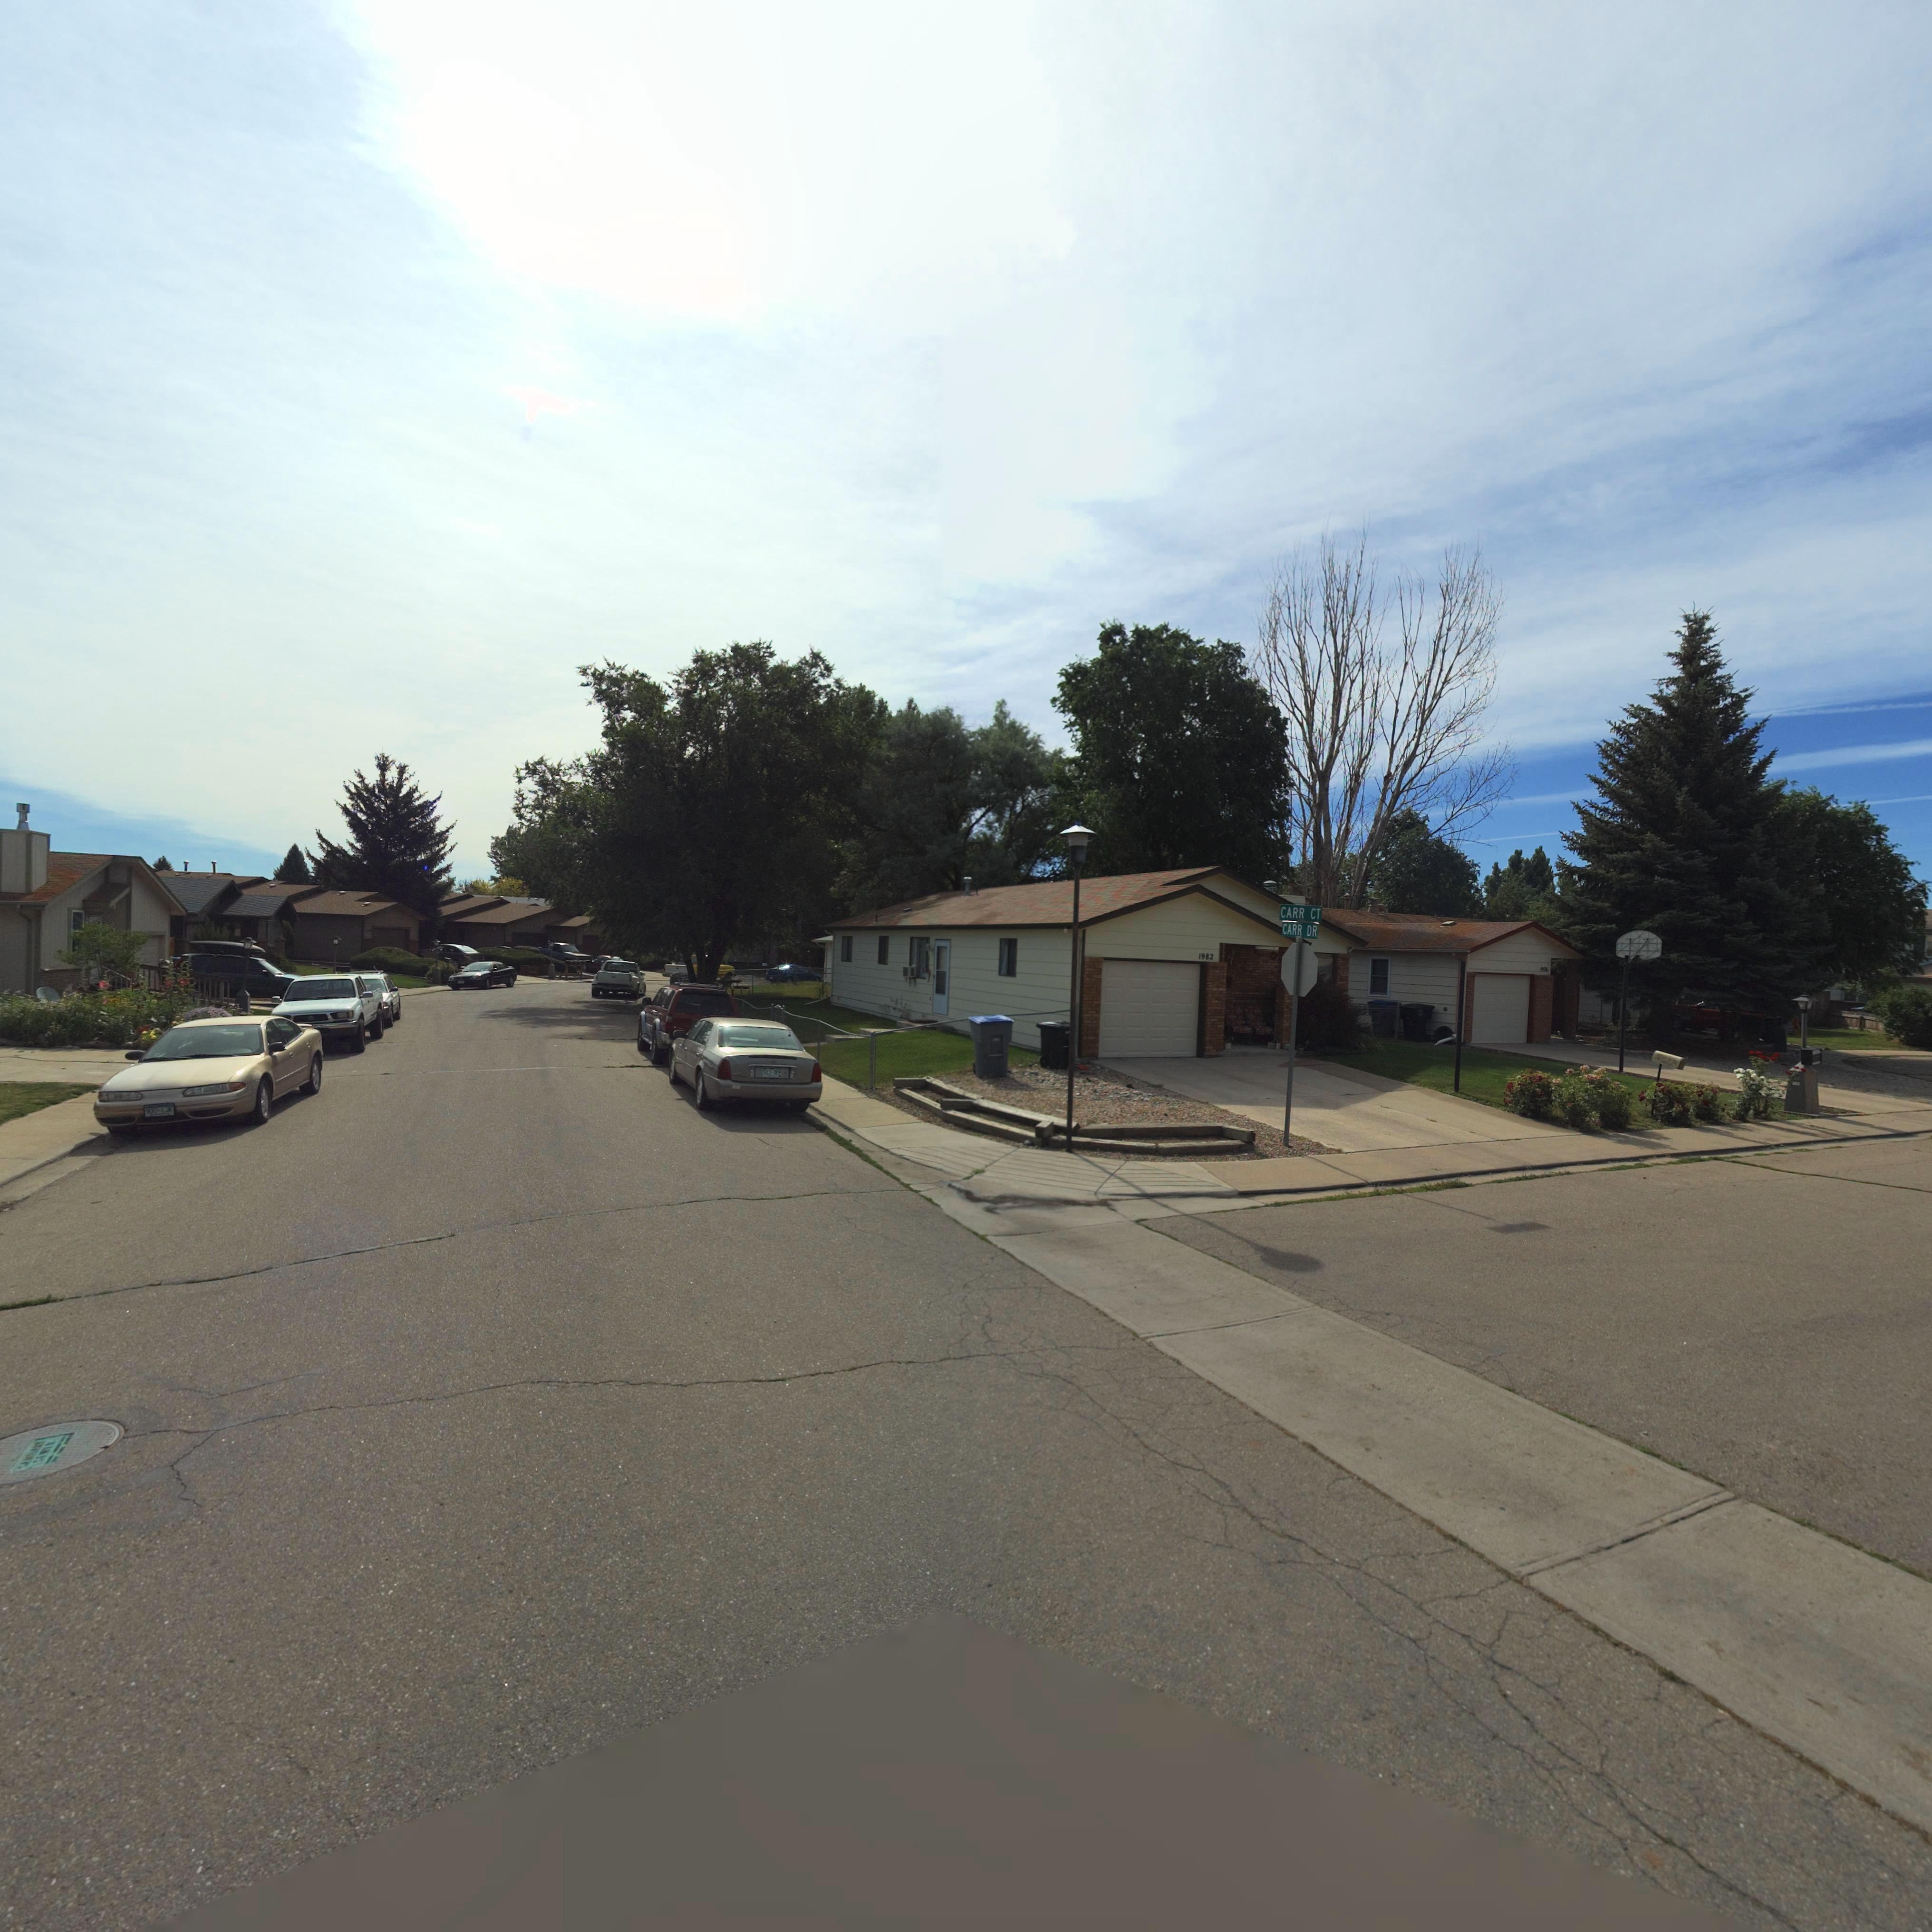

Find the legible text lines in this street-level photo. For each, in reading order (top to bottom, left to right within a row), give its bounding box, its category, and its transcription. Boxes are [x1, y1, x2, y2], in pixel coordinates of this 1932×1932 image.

[1279, 906, 1321, 920] StreetName: CARR CT
[1282, 923, 1318, 937] StreetName: CARR DR
[1198, 952, 1214, 960] StreetNumber: 1982
[1540, 966, 1548, 972] StreetNumber: 1***